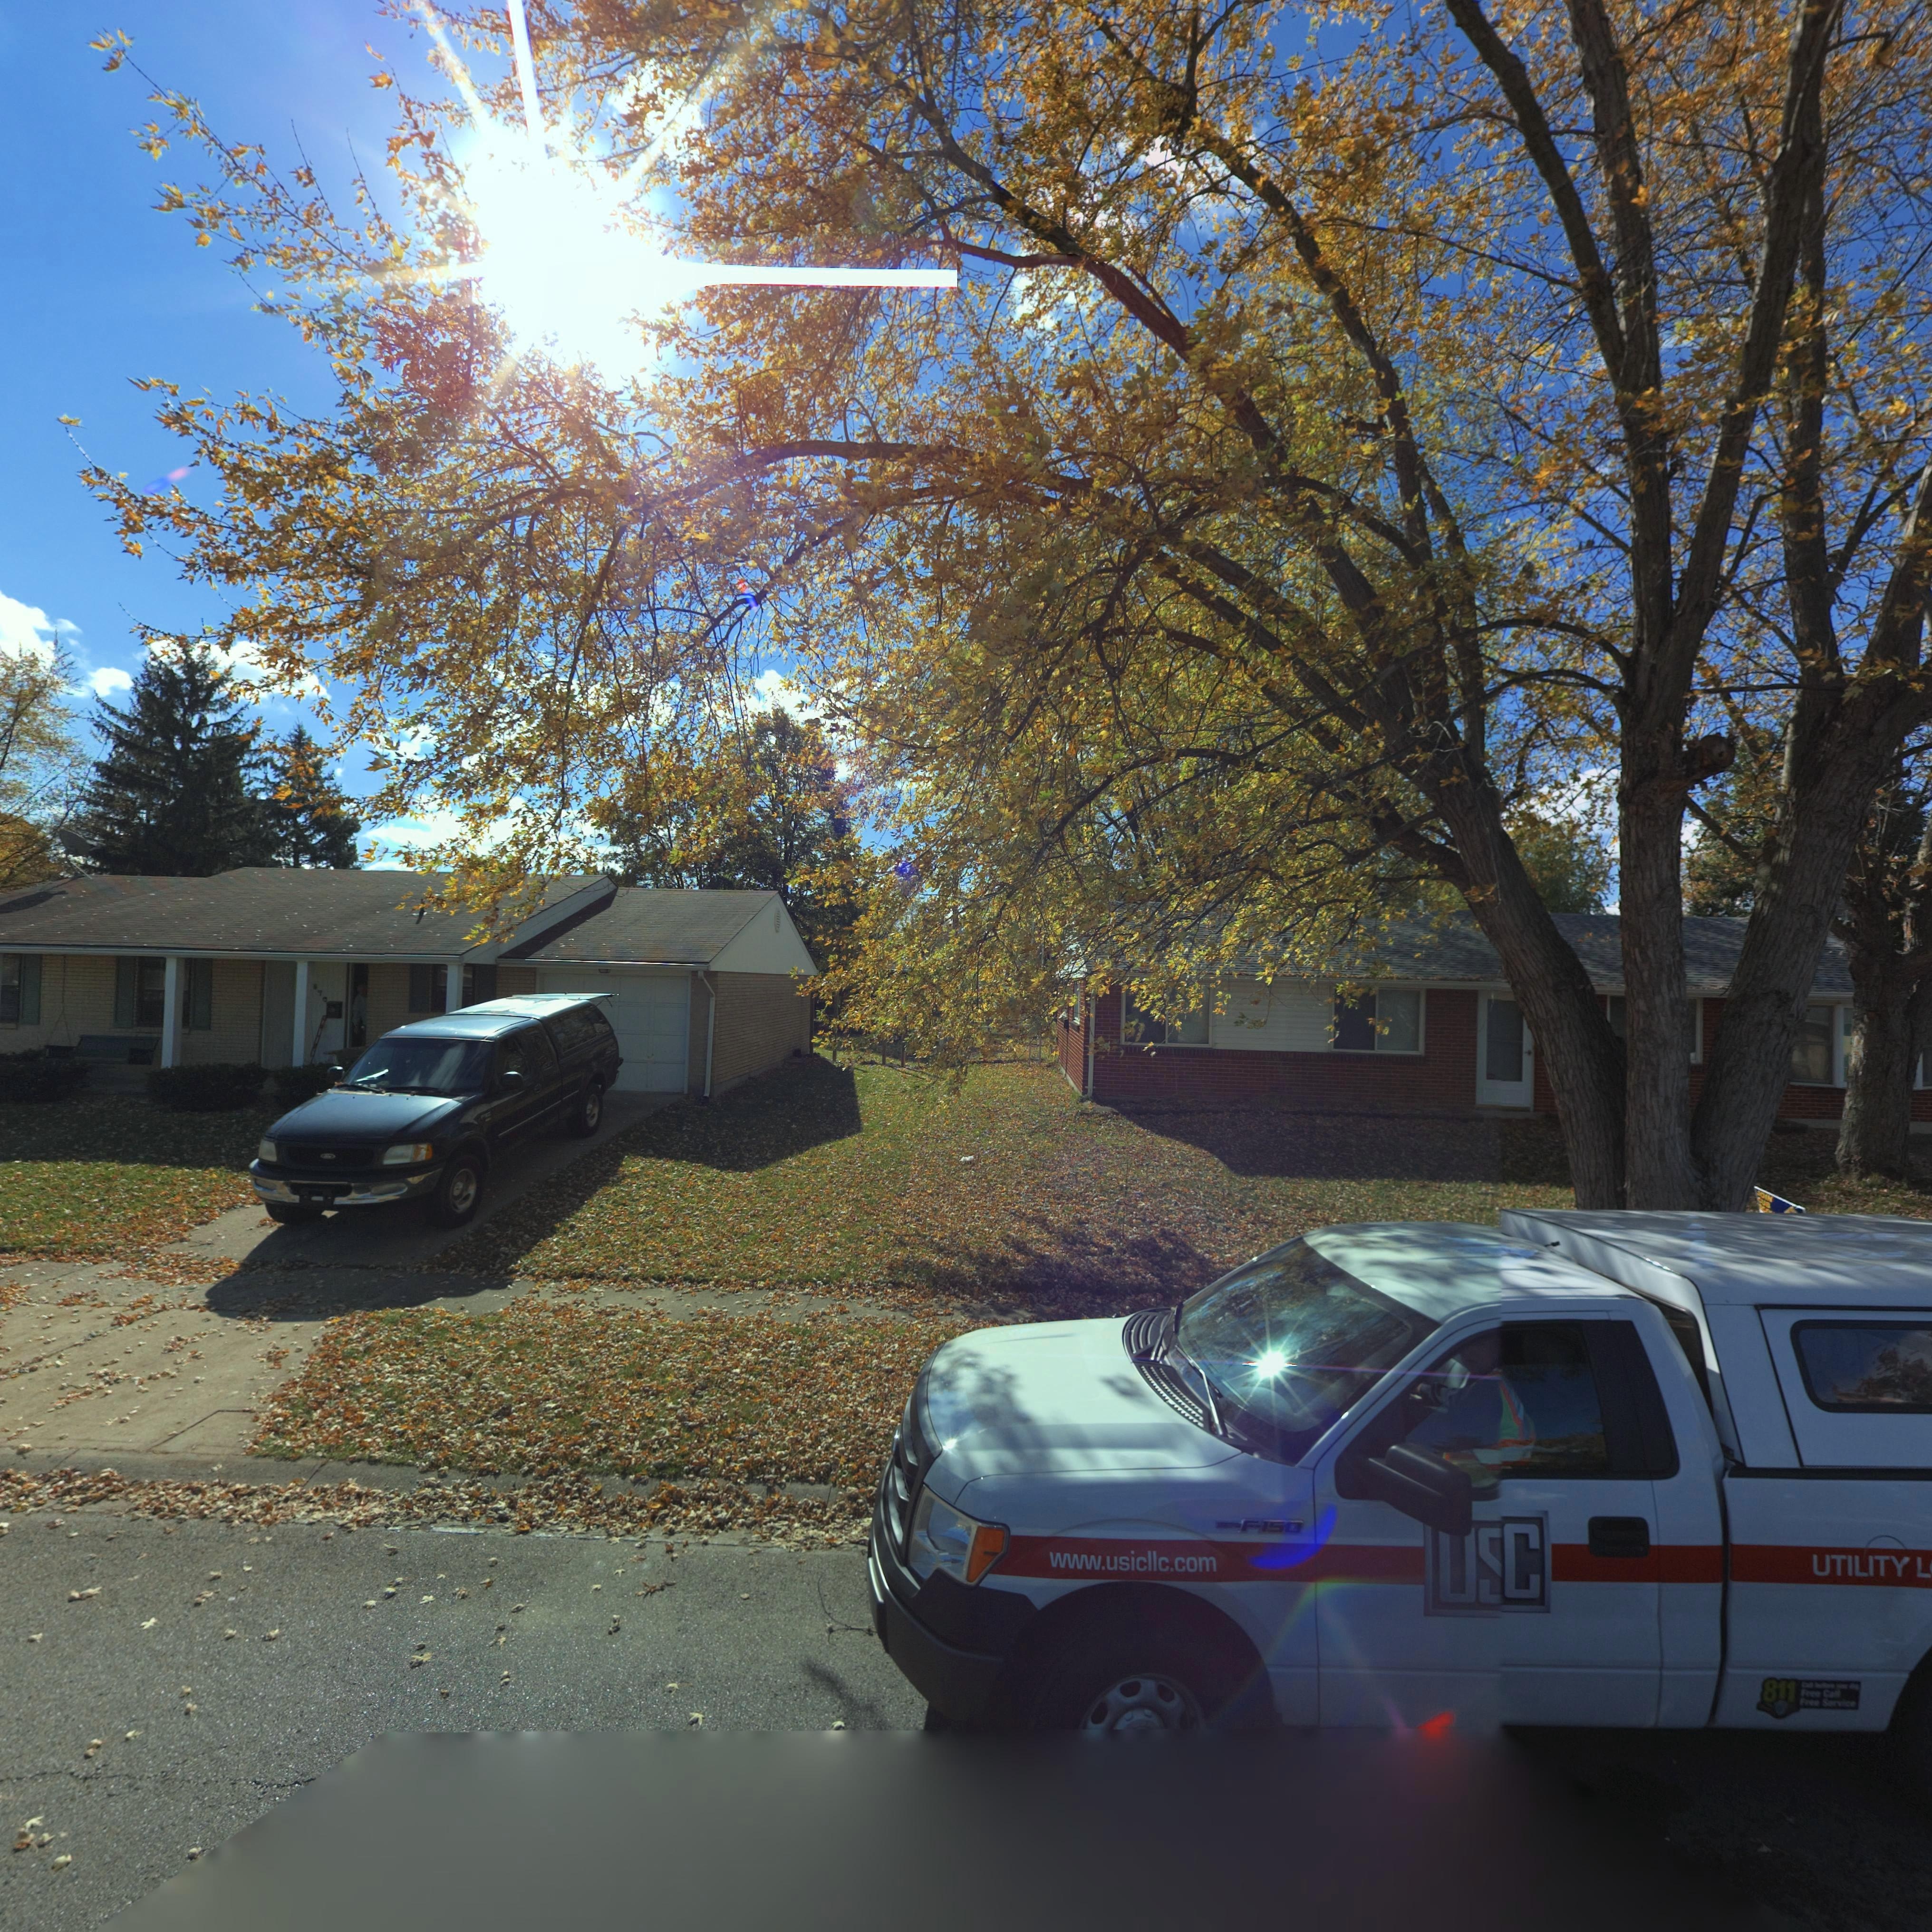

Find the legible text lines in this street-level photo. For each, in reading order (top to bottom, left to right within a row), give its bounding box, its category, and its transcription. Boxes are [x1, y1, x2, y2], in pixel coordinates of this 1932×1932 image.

[311, 981, 329, 1004] StreetNumber: *70